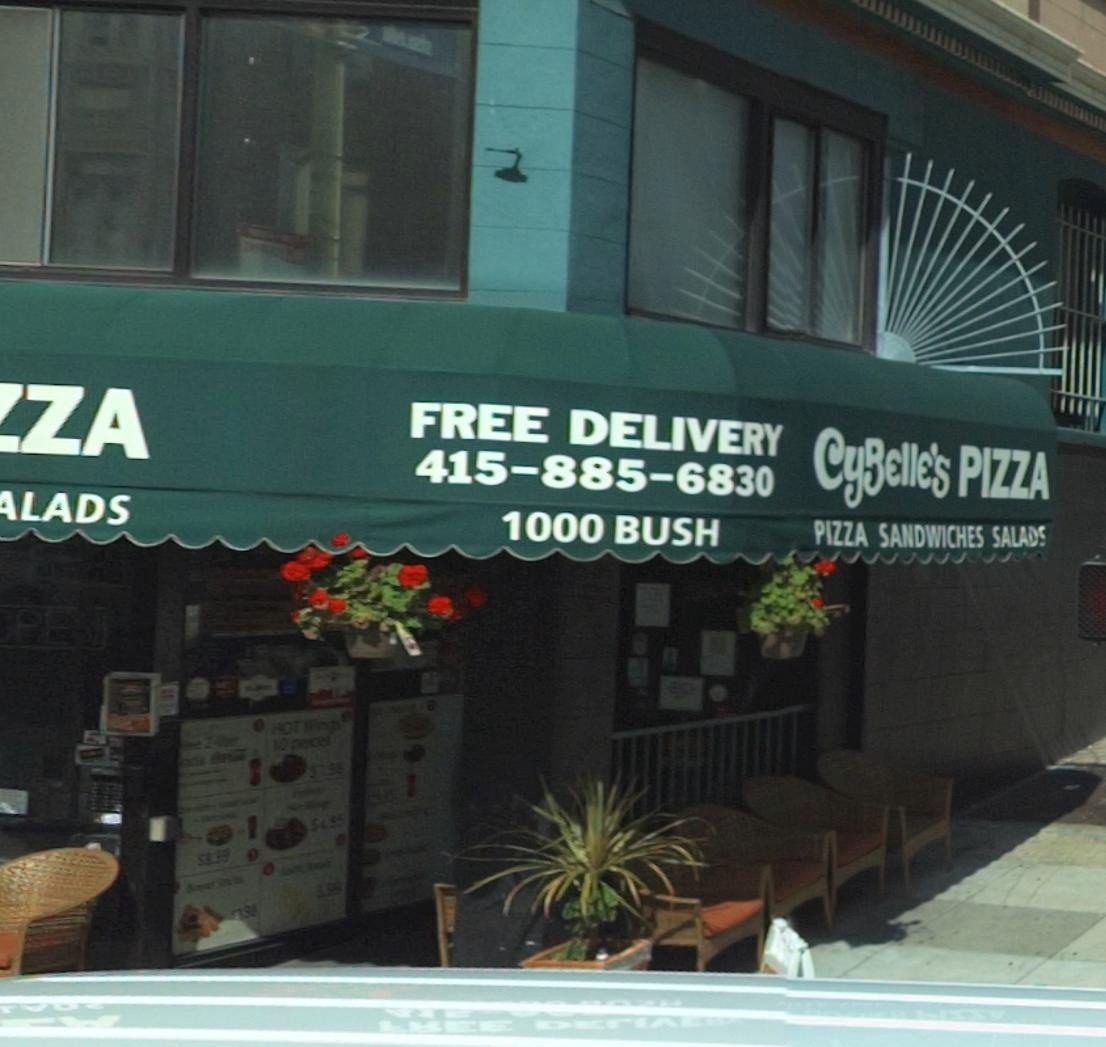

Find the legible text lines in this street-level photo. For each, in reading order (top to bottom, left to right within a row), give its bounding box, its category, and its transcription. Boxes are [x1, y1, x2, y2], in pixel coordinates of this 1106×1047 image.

[13, 373, 162, 468] BusinessName: ZA
[402, 394, 789, 464] None: FREE DELIVERY
[406, 441, 782, 504] None: 415-885-6830
[807, 416, 1056, 515] BusinessName: CyBelle's PIZZA
[11, 481, 143, 531] None: LADS
[498, 505, 611, 549] StreetNumber: 1000
[608, 508, 726, 550] StreetName: BUSH
[809, 514, 1044, 552] None: PIZZA SANDWICHES SALAD